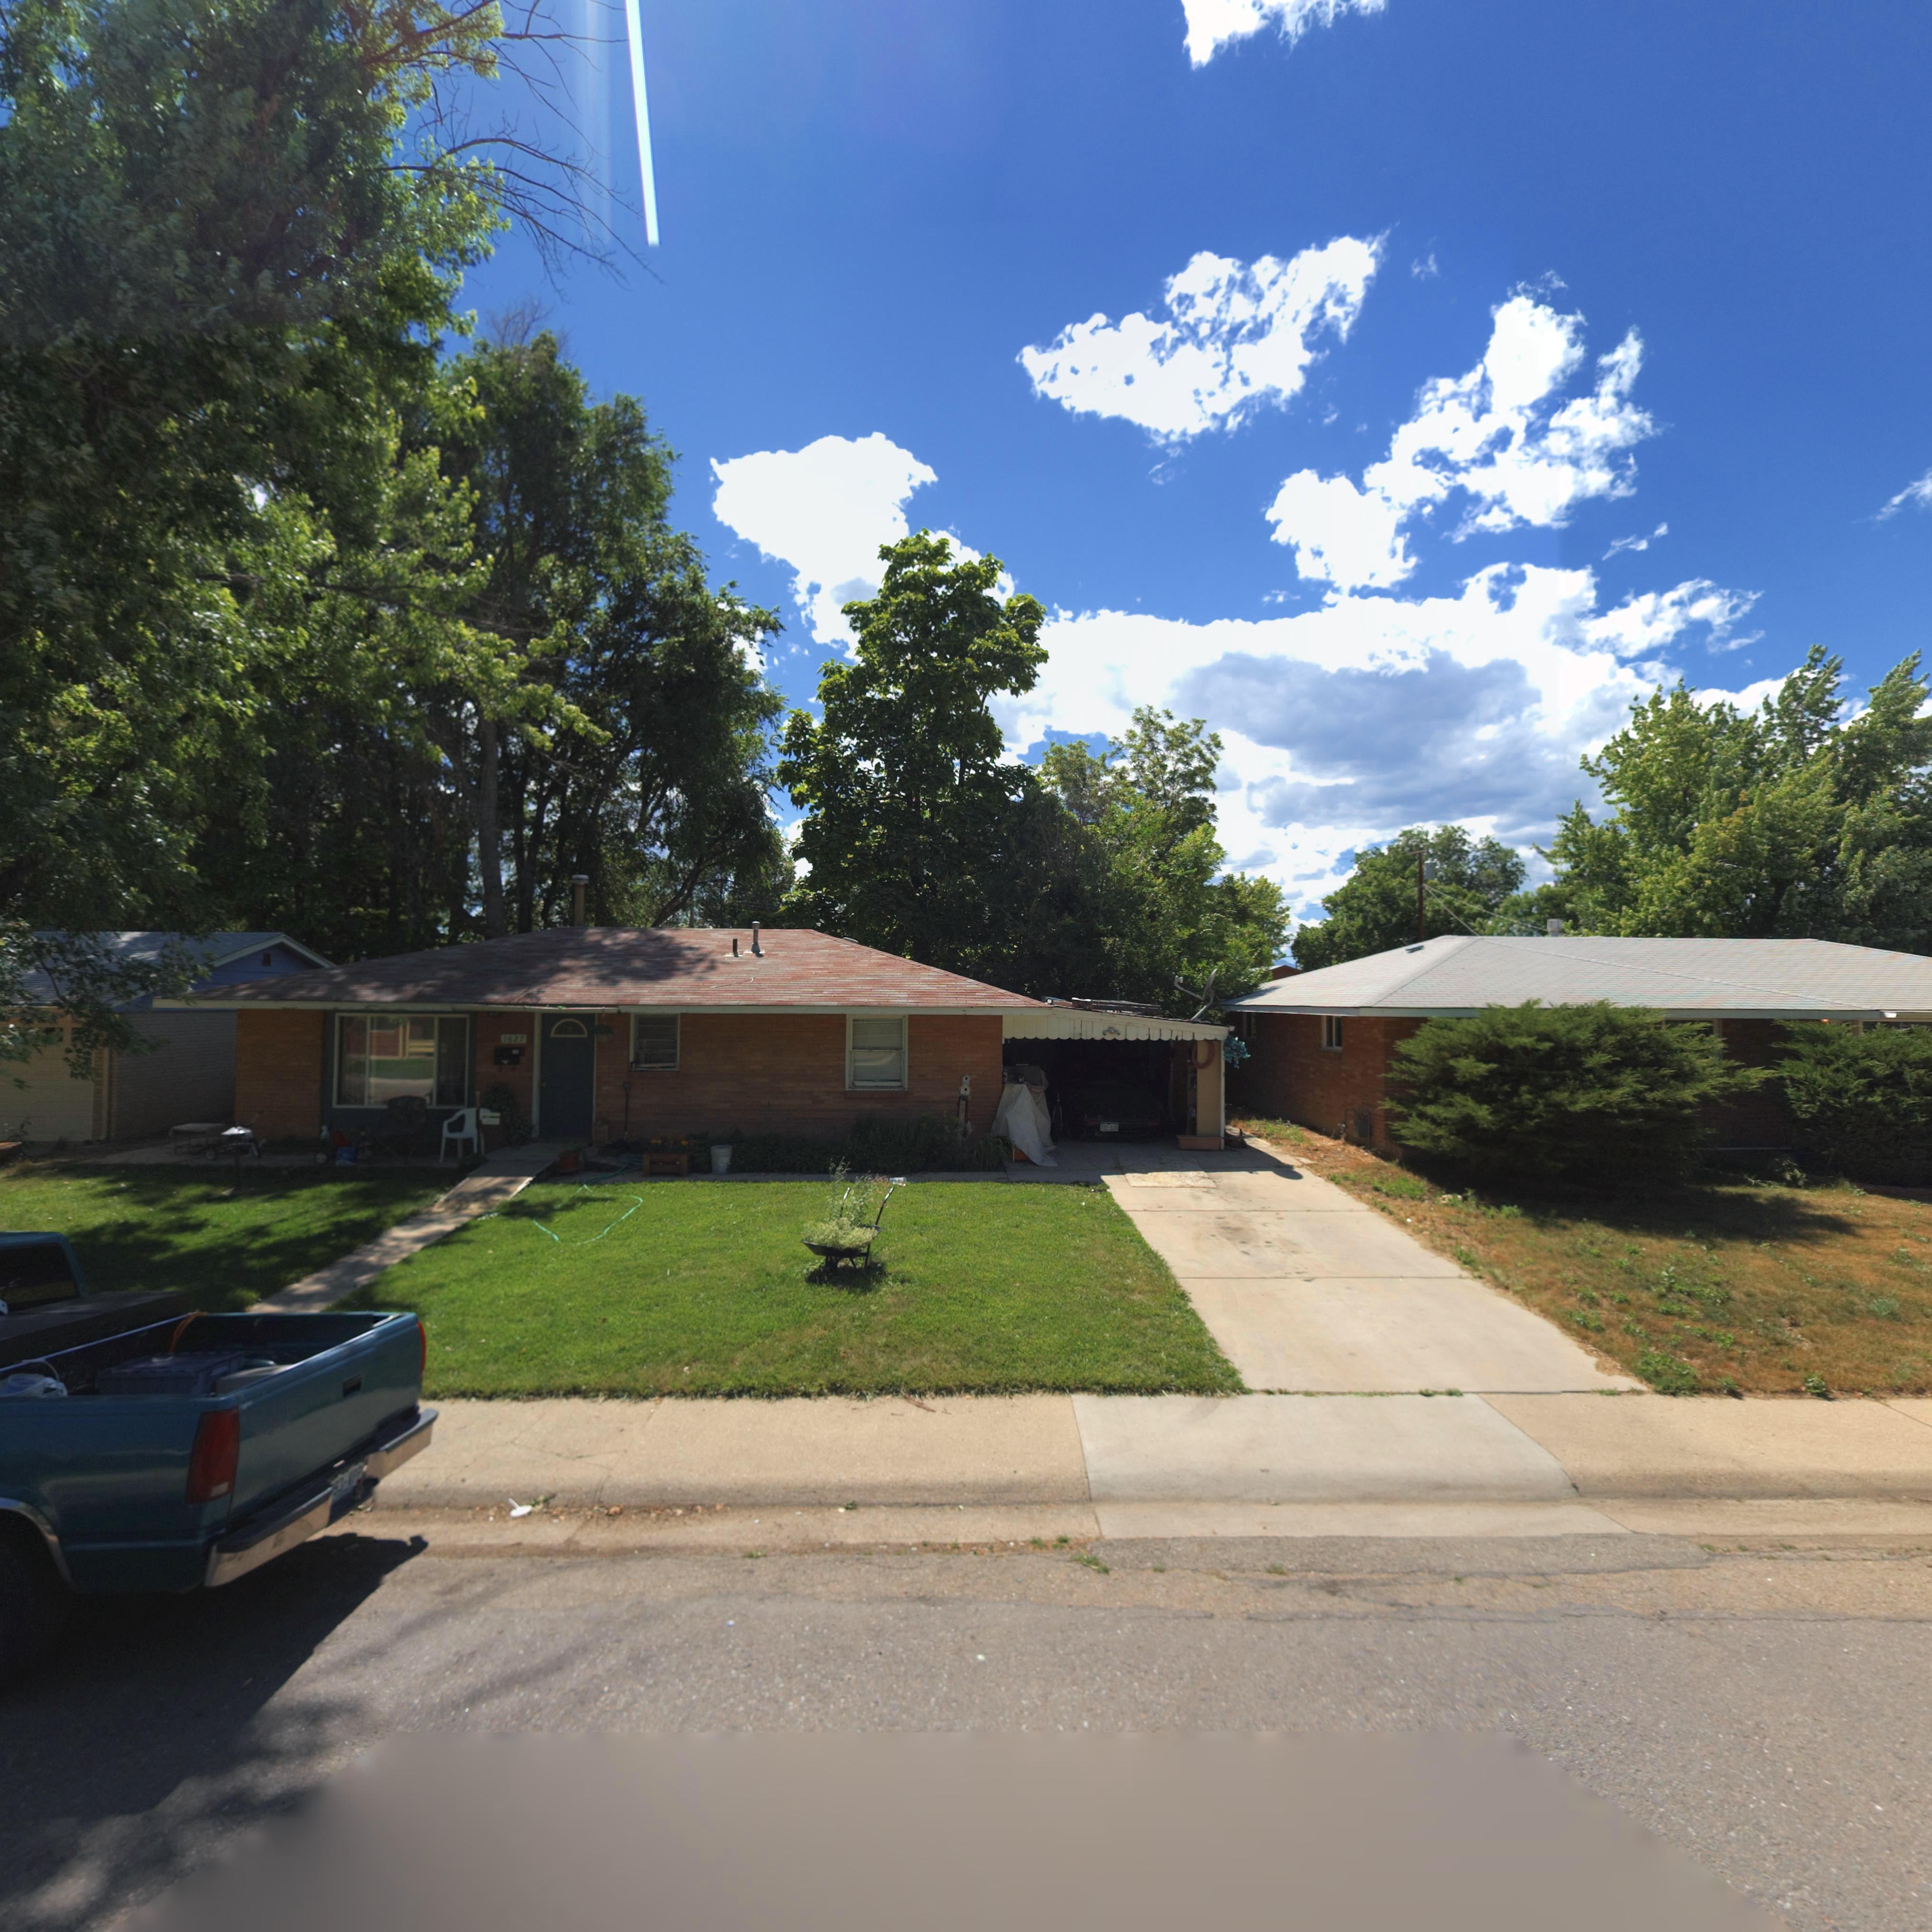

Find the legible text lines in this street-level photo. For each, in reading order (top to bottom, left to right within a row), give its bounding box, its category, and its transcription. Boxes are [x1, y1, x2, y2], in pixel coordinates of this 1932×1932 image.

[503, 1034, 525, 1043] StreetNumber: 1627